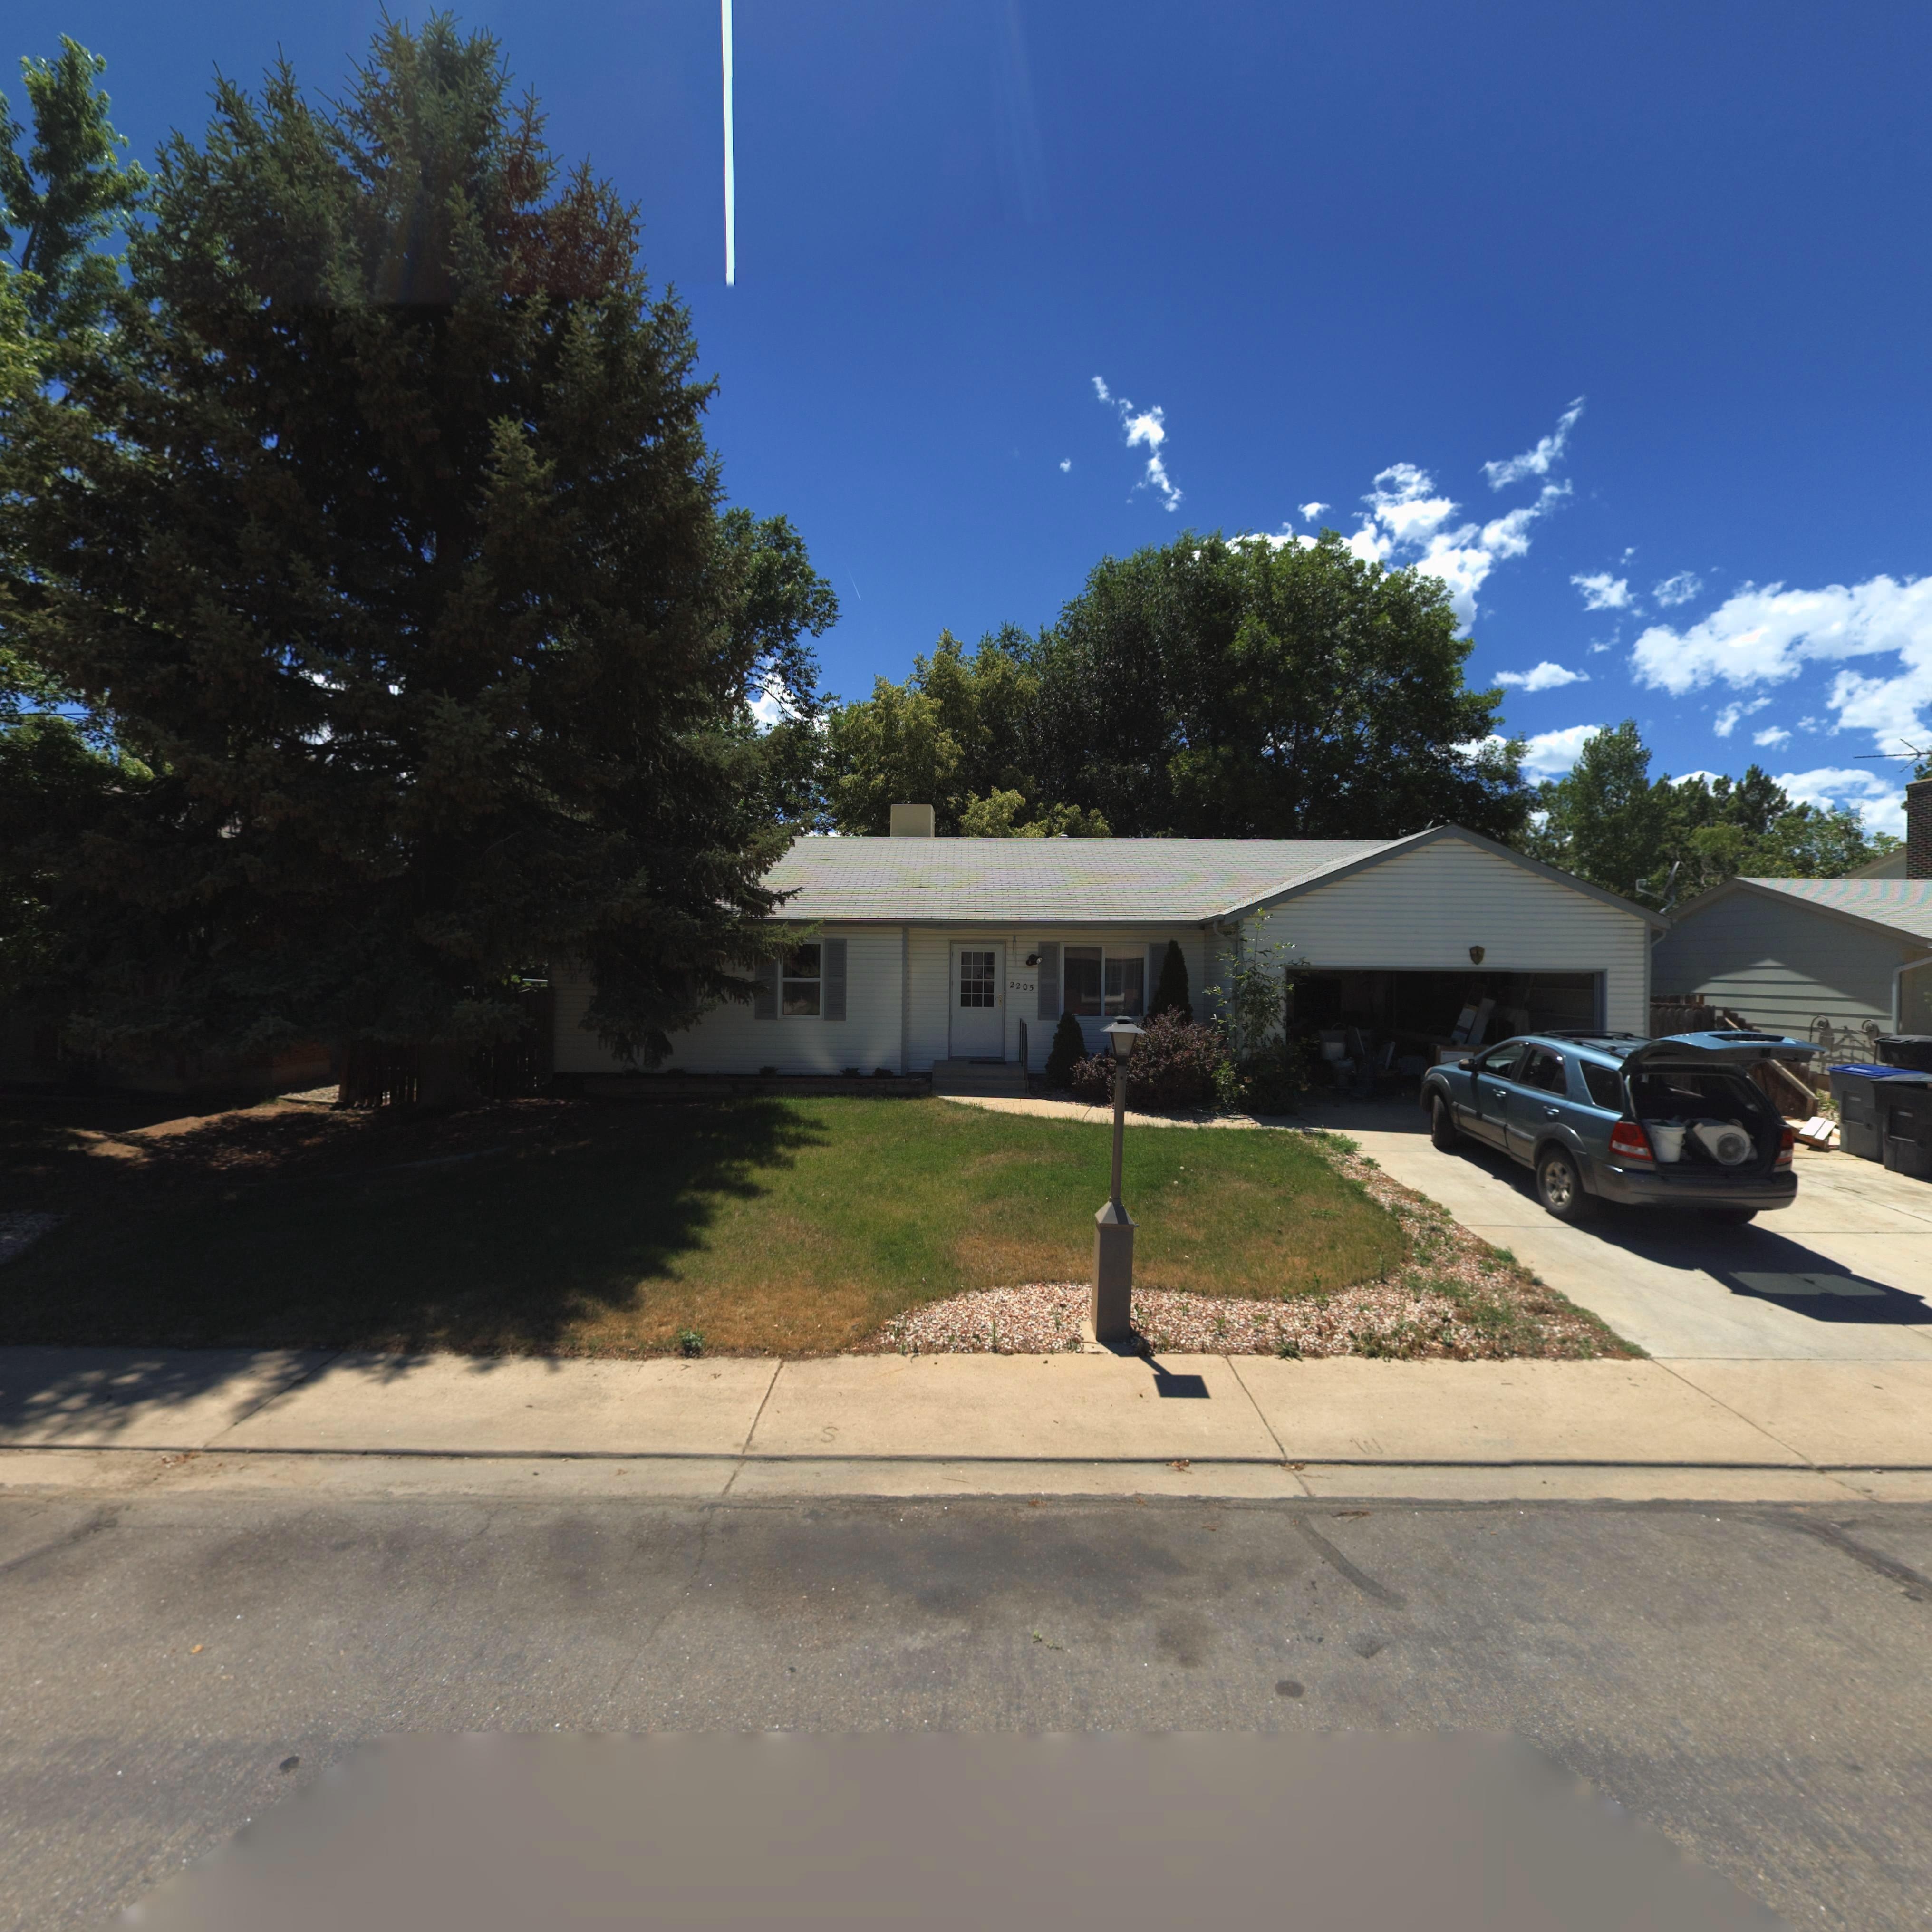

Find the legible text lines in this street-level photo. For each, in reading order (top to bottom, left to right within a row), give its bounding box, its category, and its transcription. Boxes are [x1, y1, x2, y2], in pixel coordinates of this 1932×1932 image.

[1009, 981, 1034, 991] StreetNumber: 2205